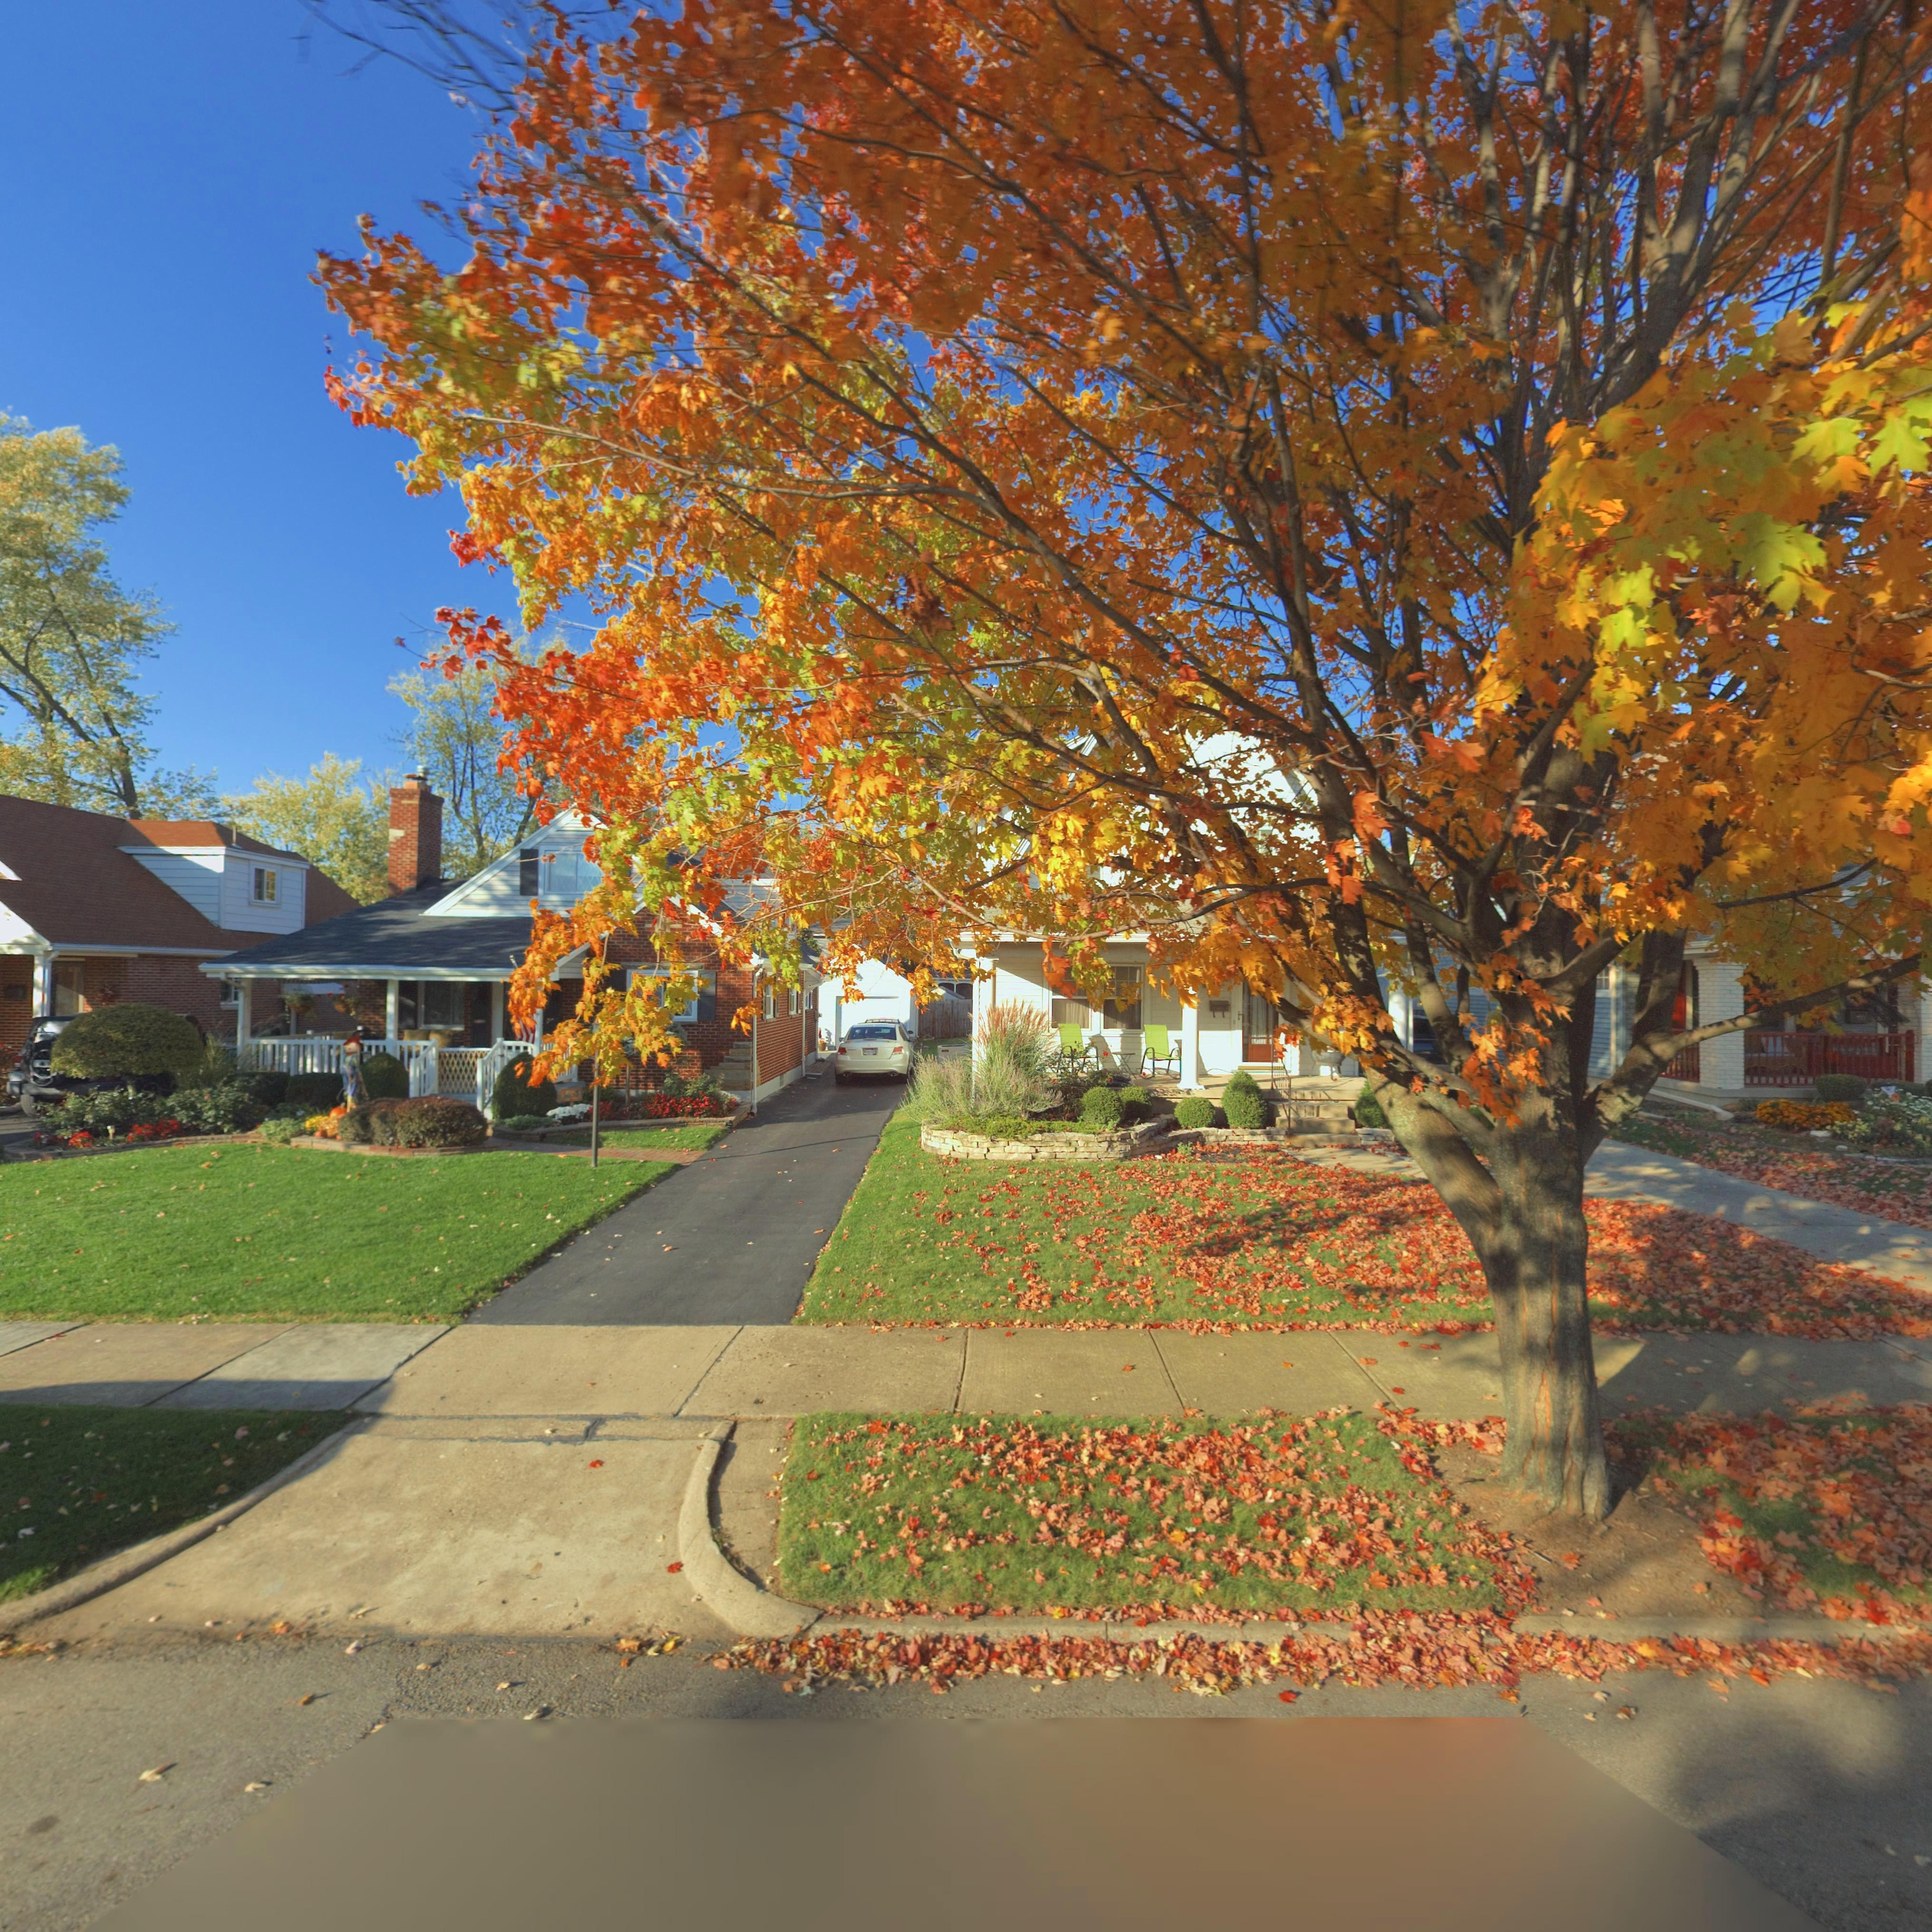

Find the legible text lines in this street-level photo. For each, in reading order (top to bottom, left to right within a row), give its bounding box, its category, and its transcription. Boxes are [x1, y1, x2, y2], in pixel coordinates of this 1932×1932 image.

[545, 1017, 551, 1024] StreetNumber: 2